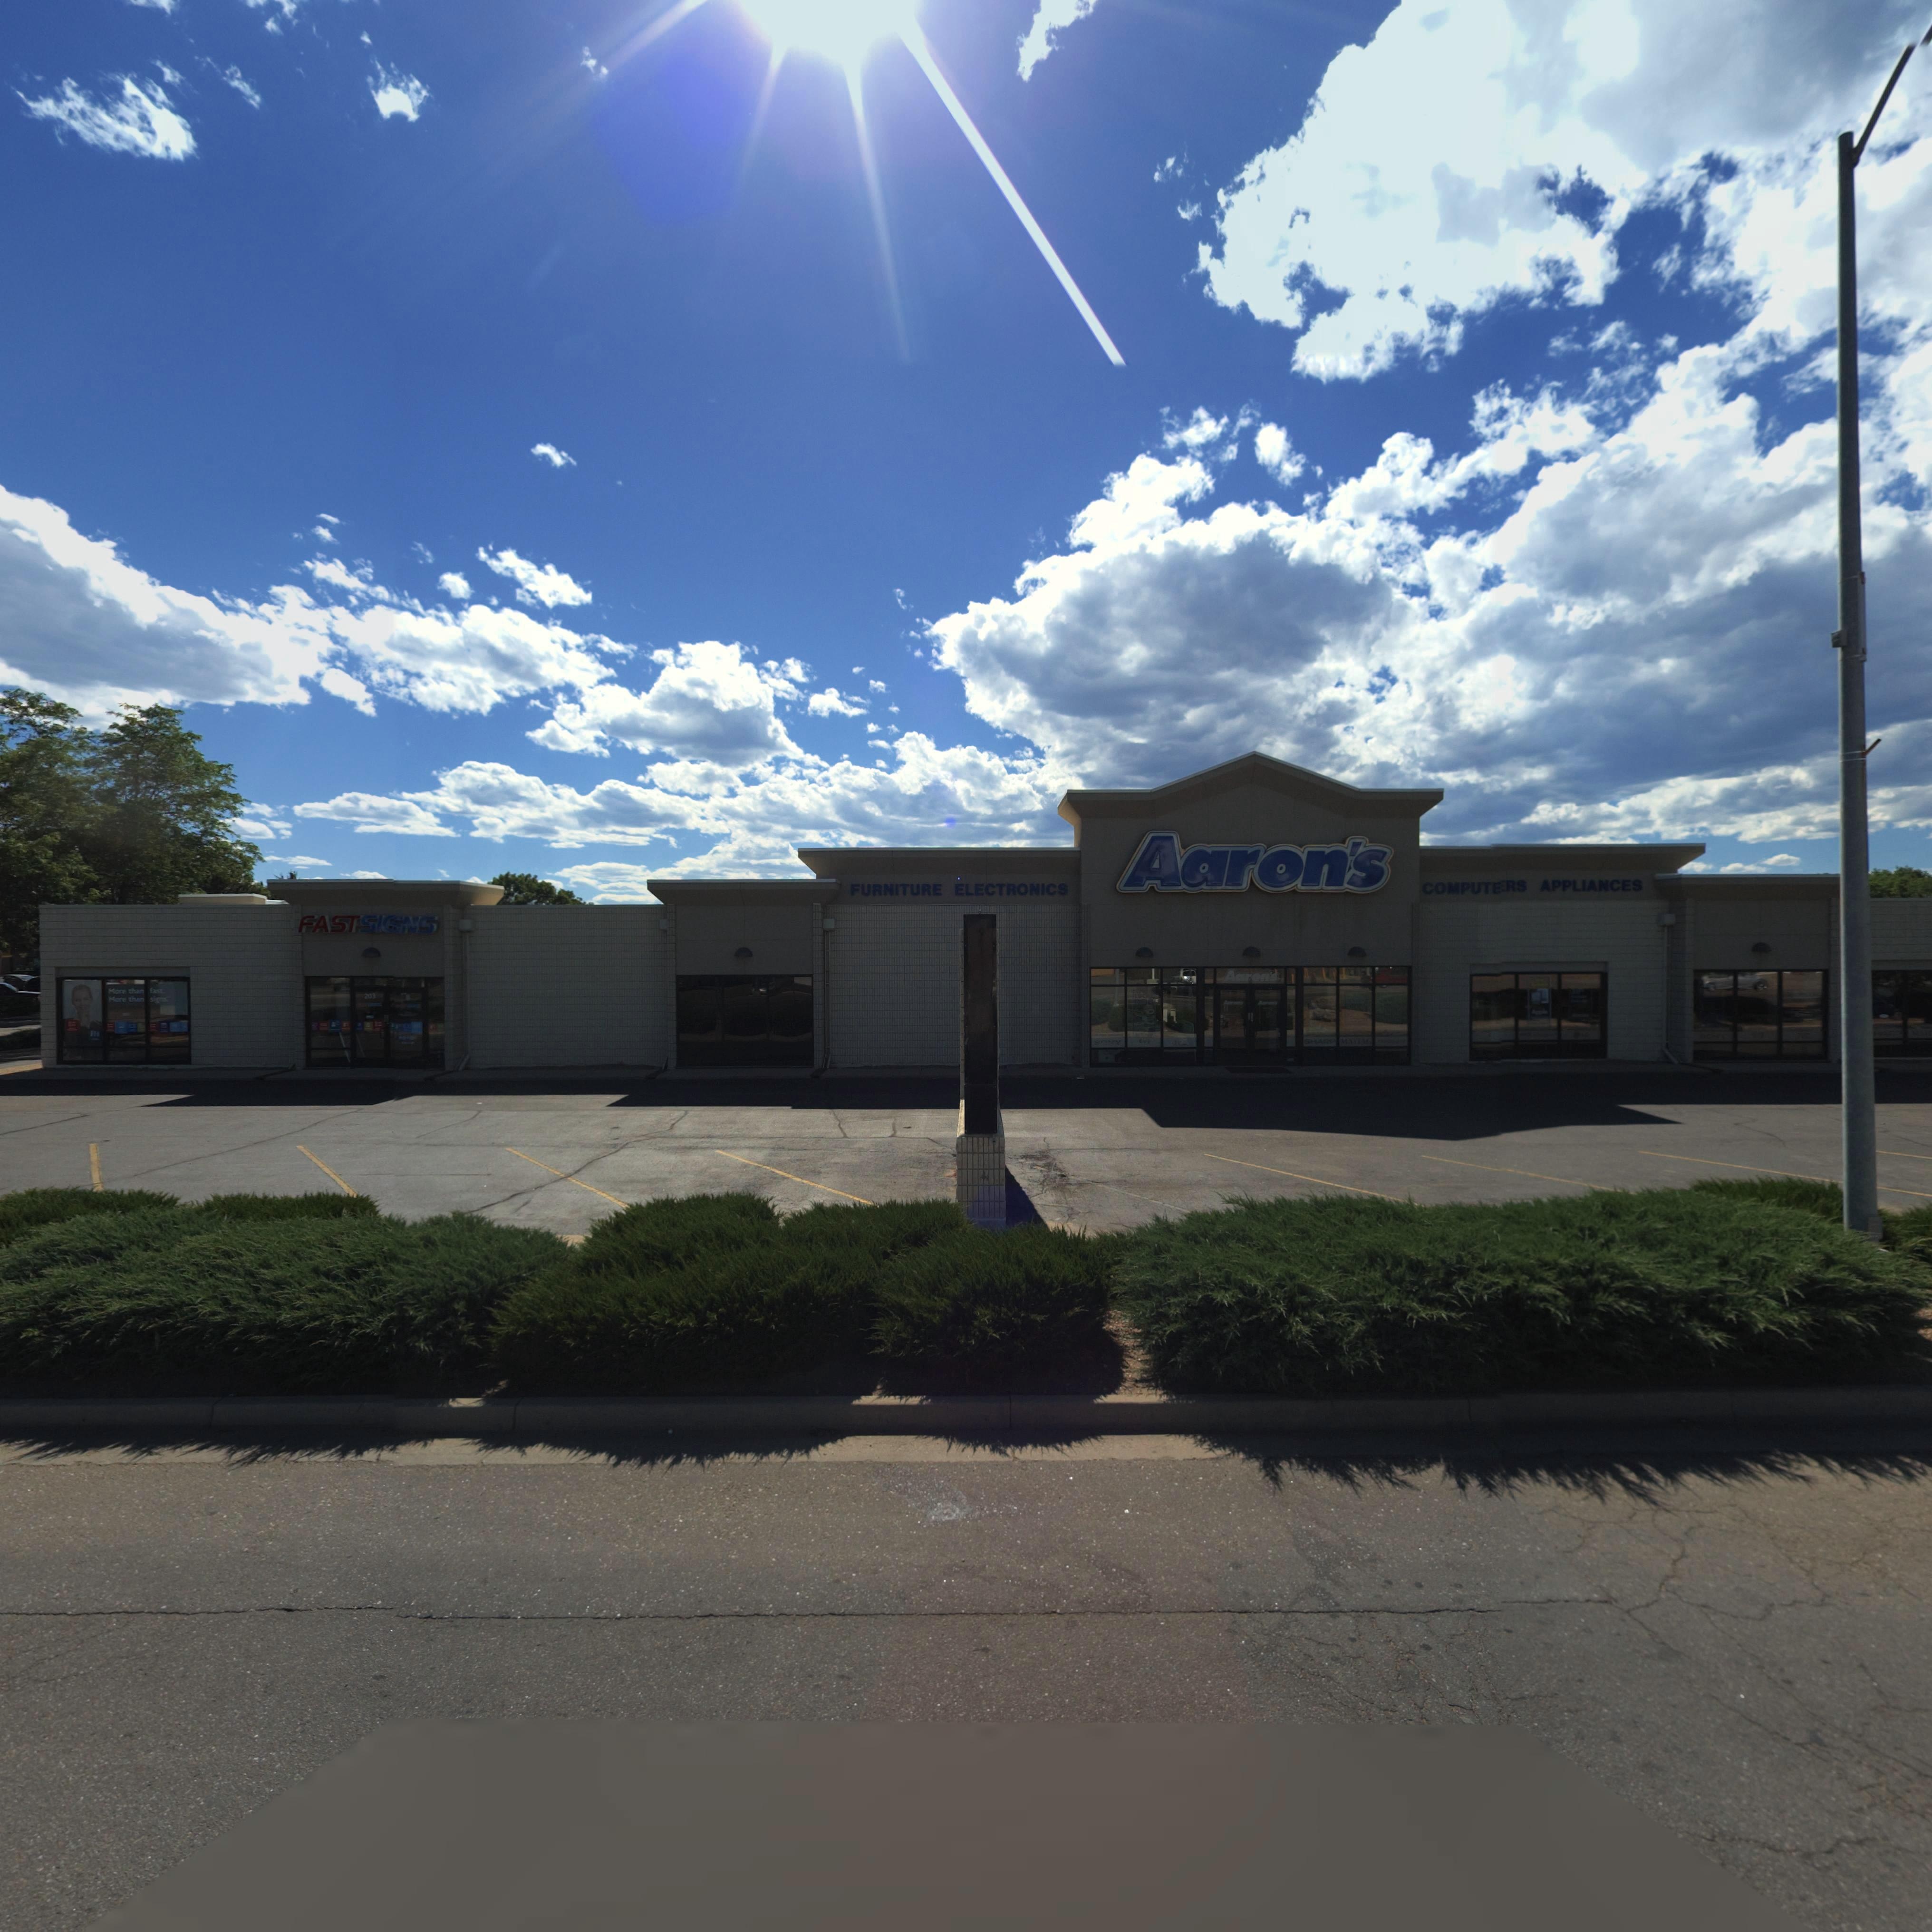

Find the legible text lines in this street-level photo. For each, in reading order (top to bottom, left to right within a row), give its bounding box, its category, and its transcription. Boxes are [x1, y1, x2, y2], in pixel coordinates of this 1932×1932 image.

[1120, 834, 1390, 889] BusinessName: Aaron's
[297, 914, 436, 935] BusinessName: FASTSIGNS
[1223, 969, 1278, 982] BusinessName: Aaron's
[364, 993, 376, 999] BusinessName: 203